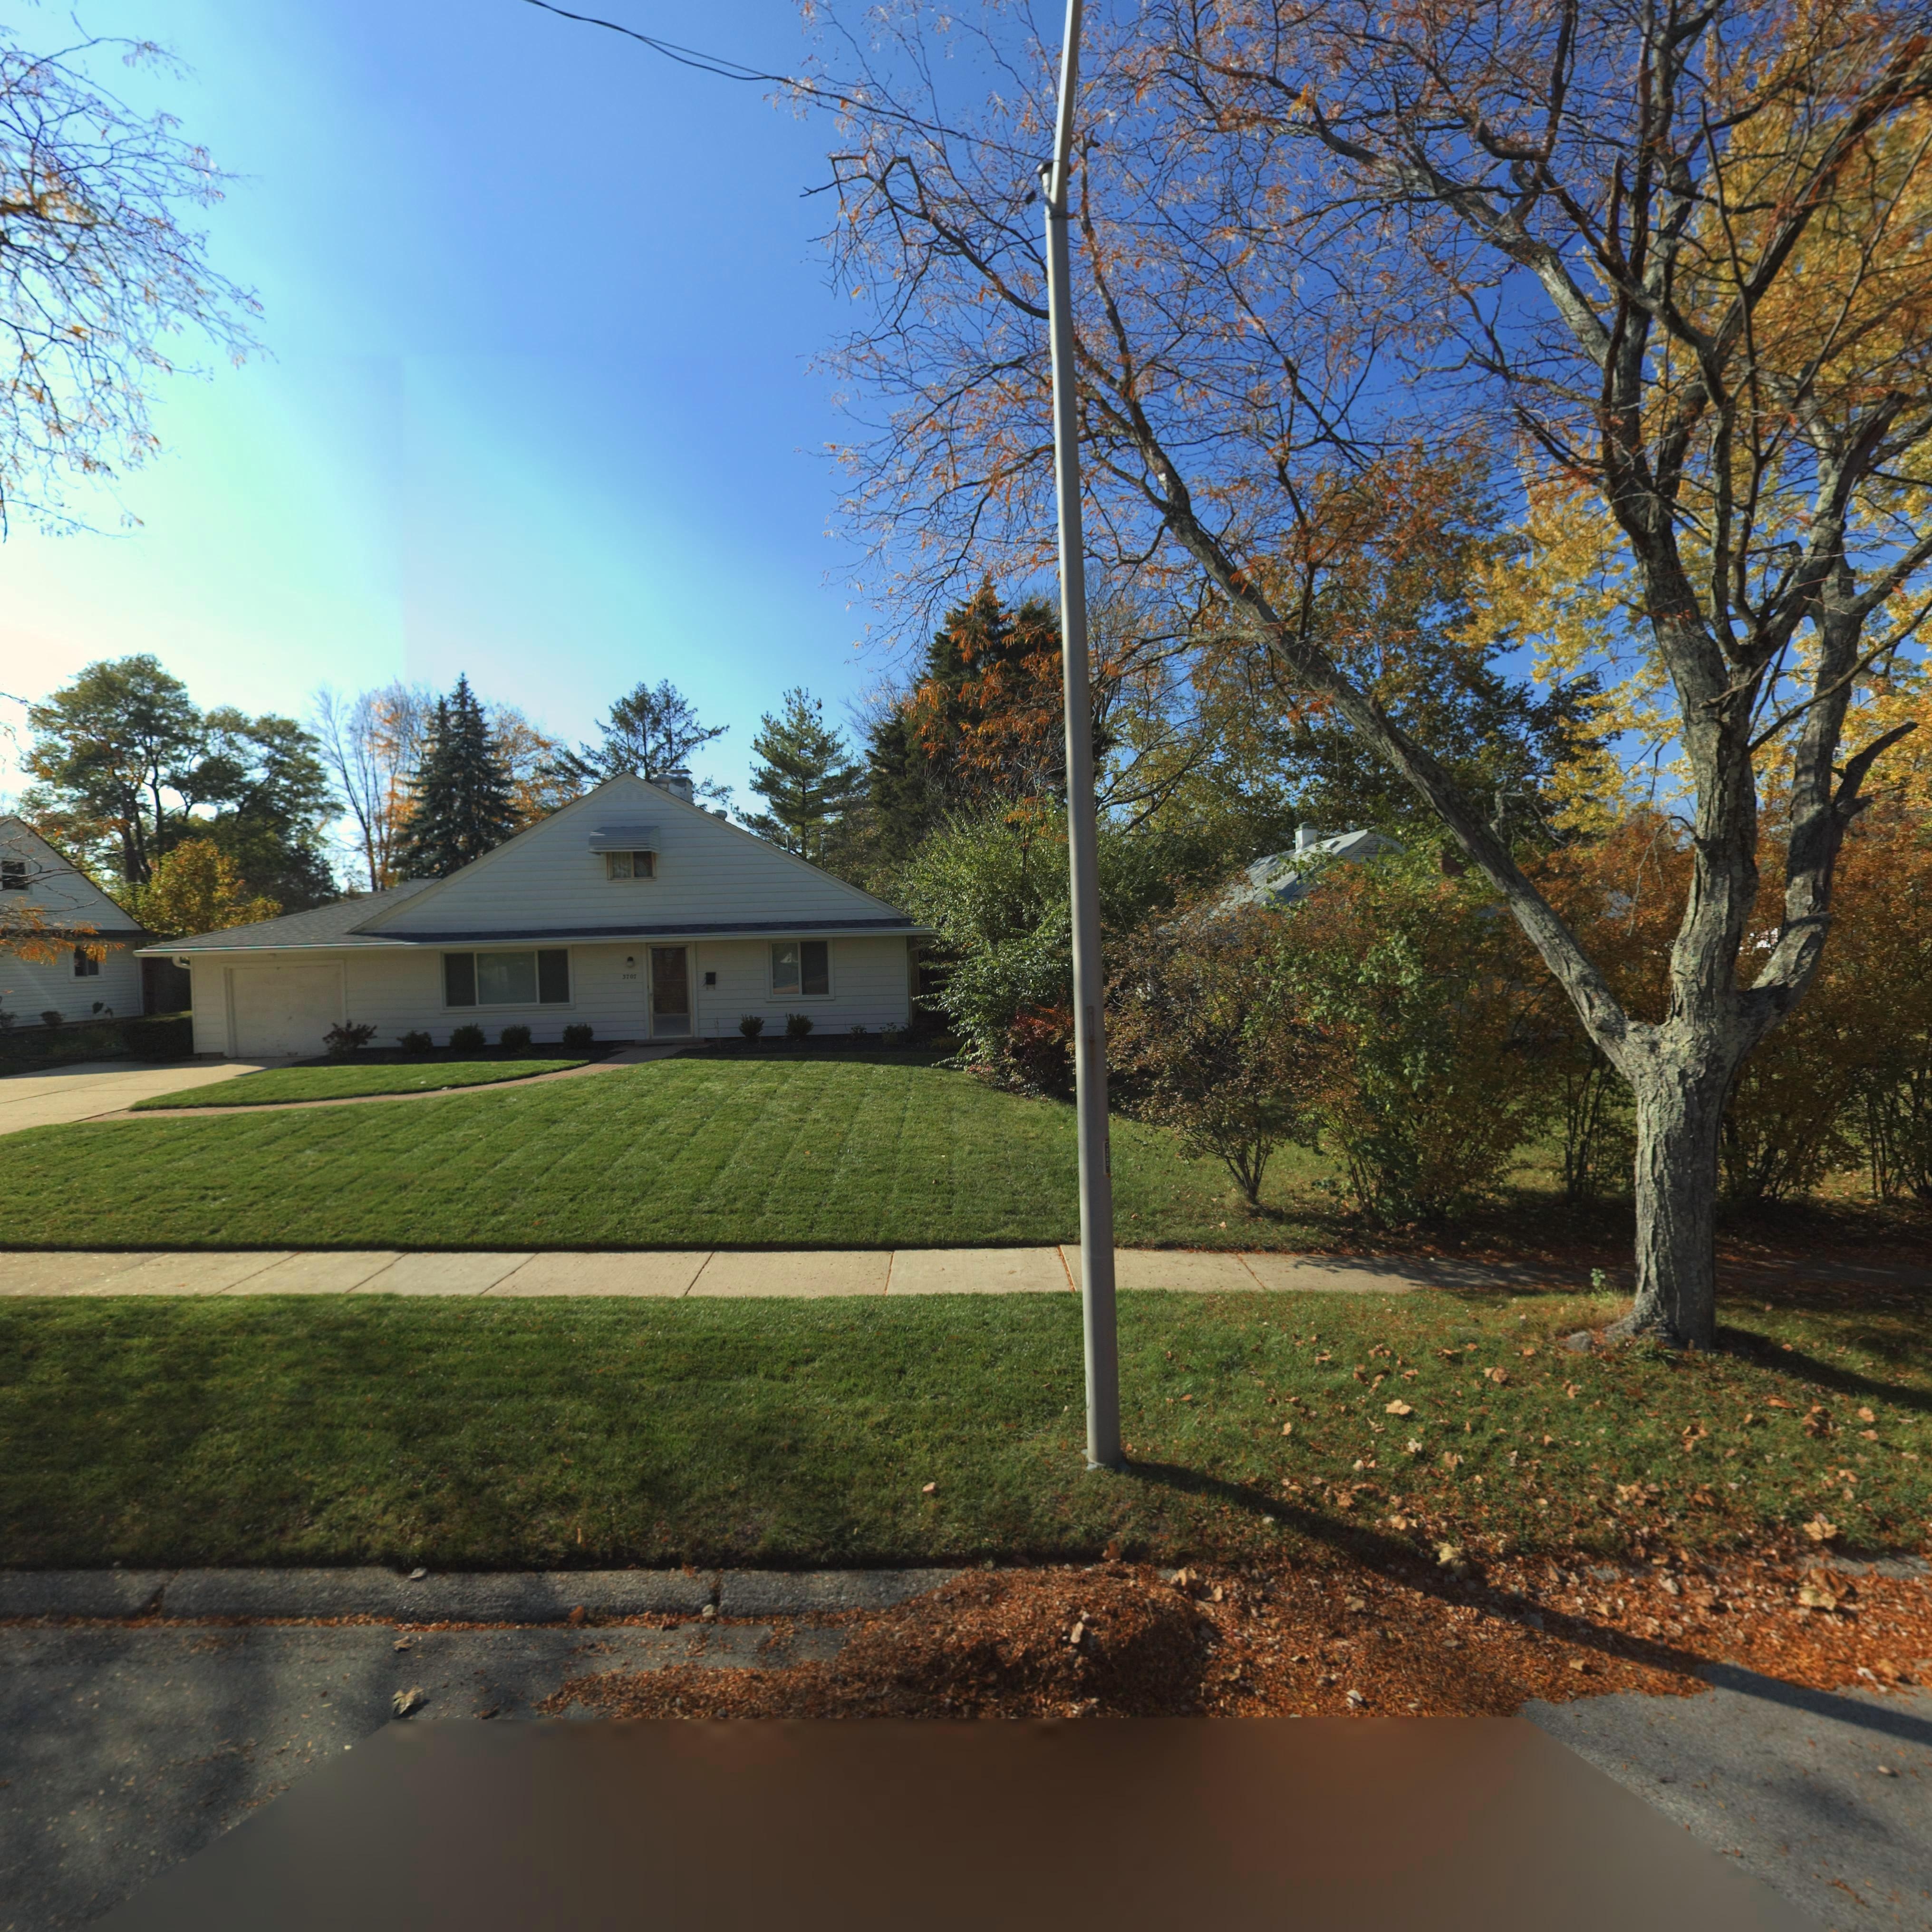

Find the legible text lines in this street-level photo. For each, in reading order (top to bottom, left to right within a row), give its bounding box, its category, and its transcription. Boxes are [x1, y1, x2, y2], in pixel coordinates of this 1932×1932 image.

[621, 974, 637, 980] StreetNumber: 3707
[1105, 1142, 1110, 1167] None: 13503